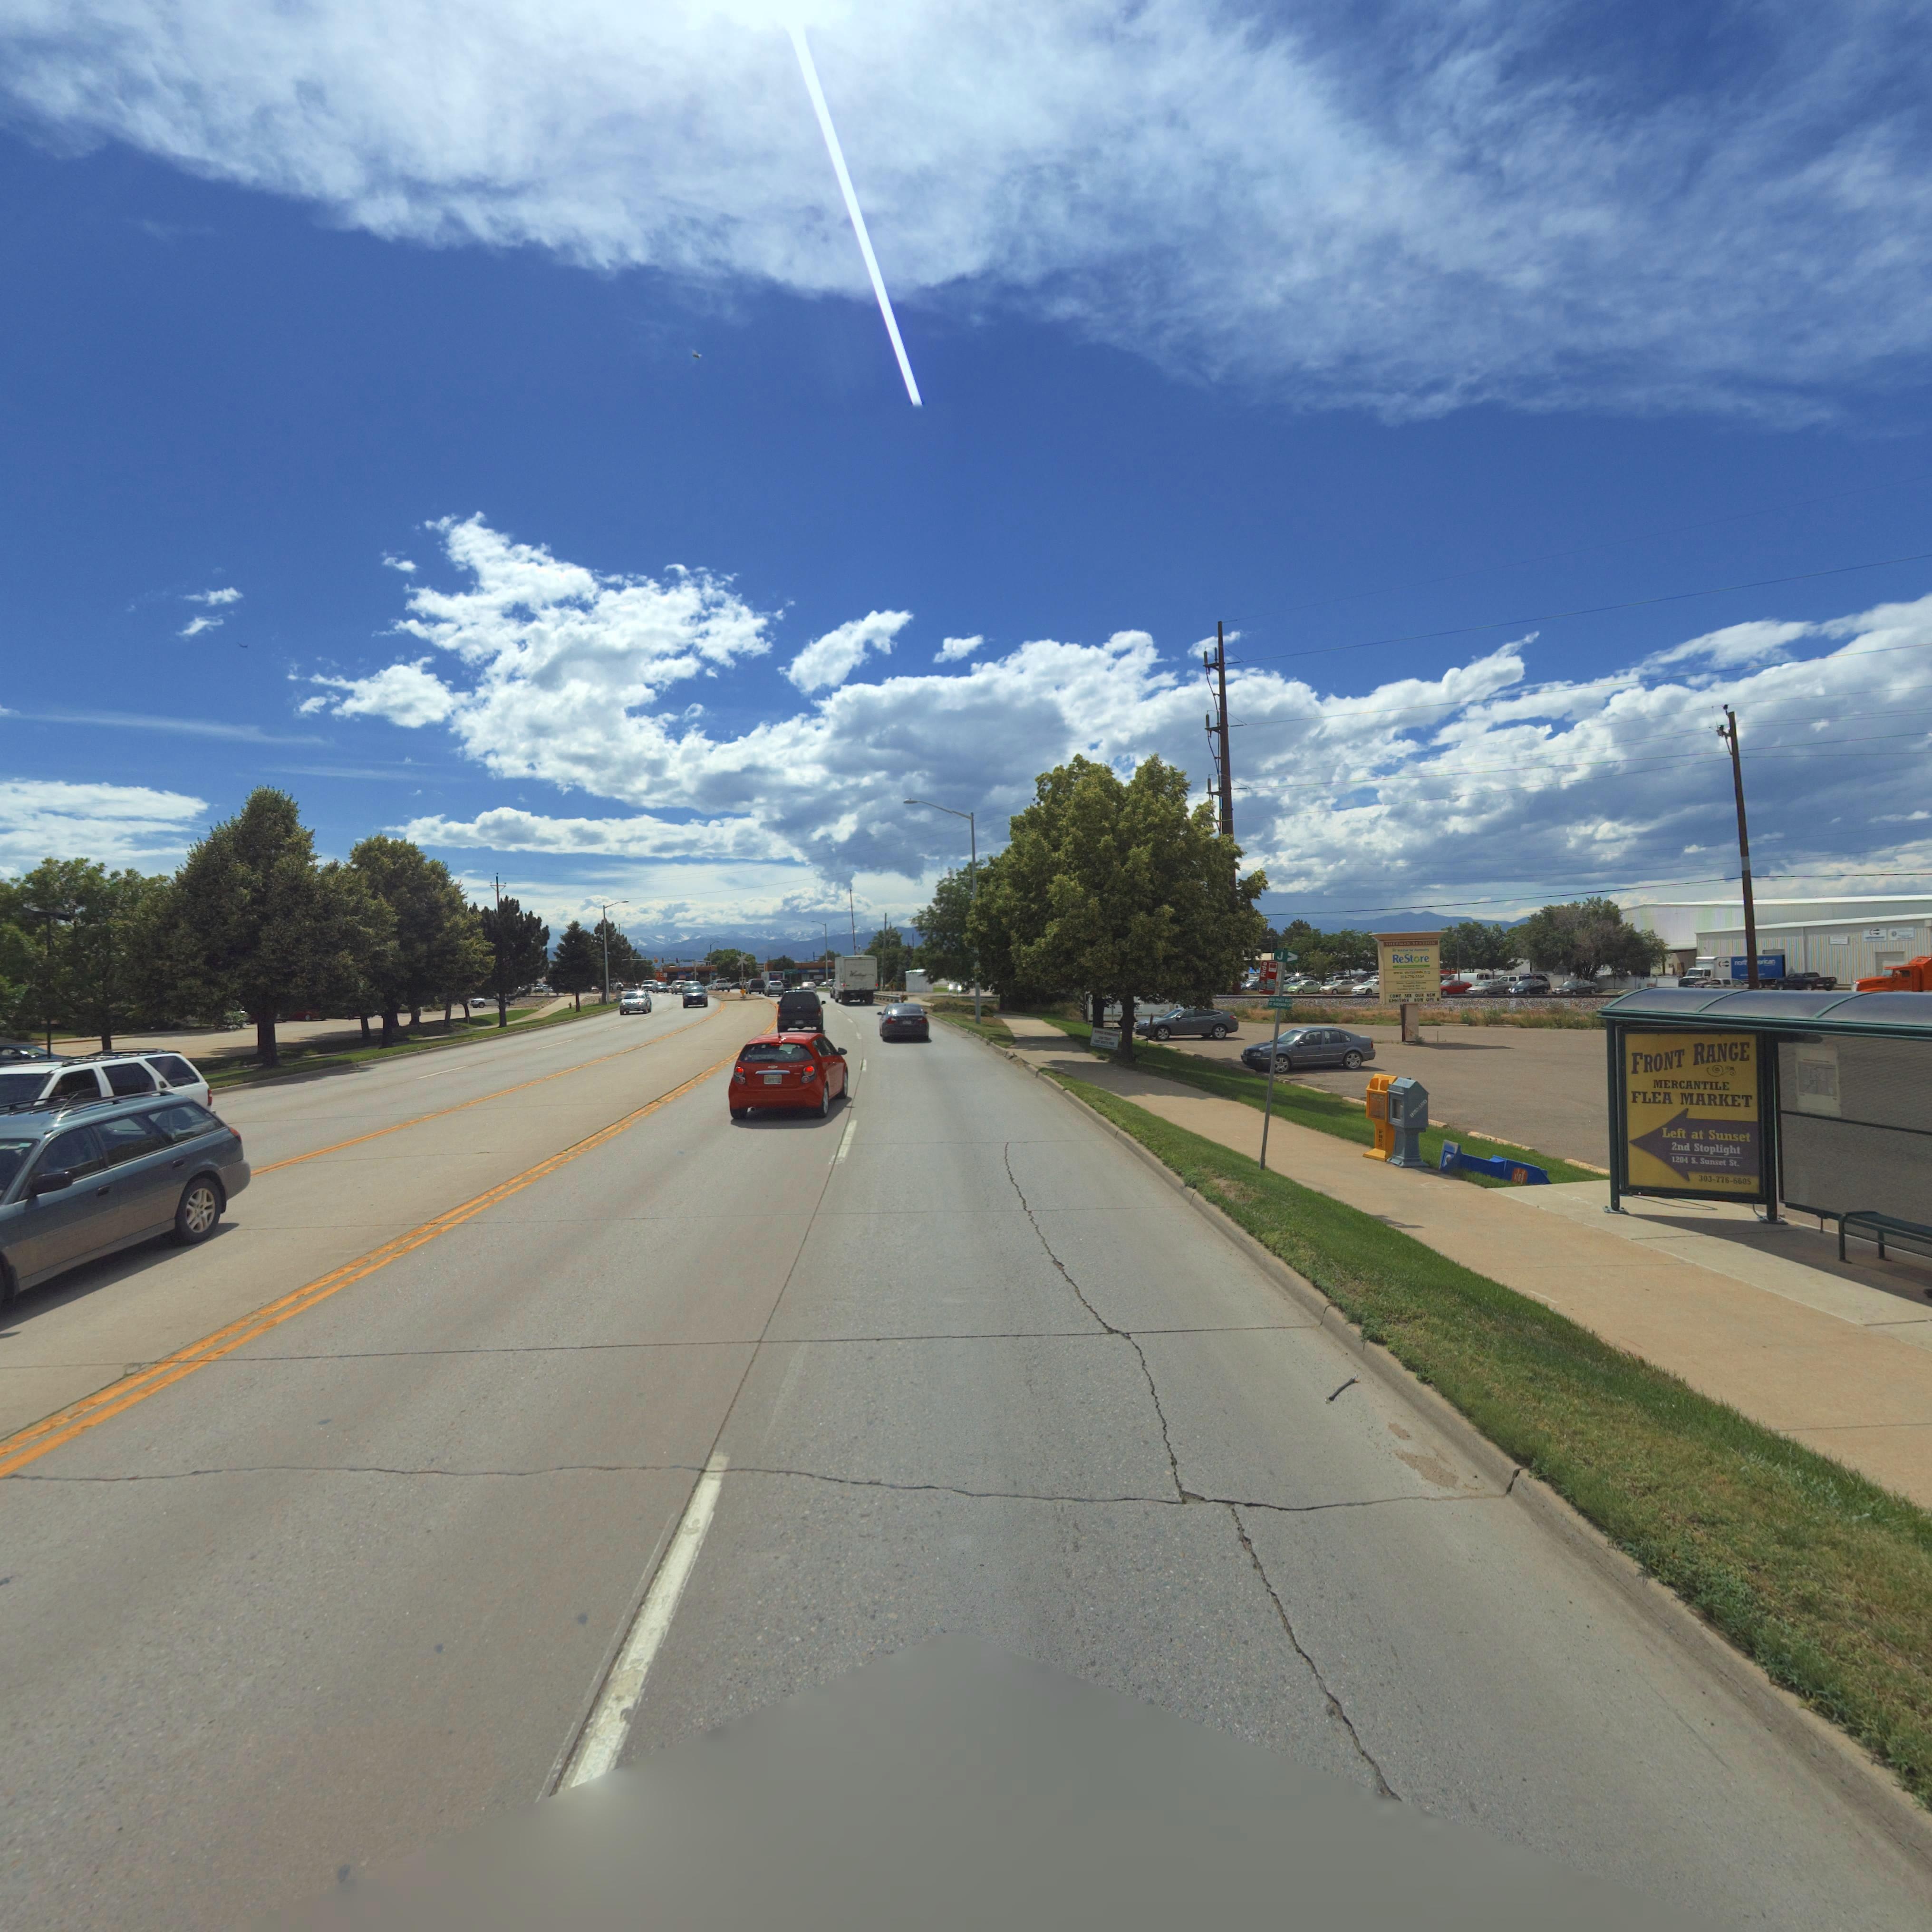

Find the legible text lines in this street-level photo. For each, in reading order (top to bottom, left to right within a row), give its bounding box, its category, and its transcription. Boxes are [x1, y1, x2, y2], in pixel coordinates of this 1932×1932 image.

[1392, 954, 1430, 963] BusinessName: ReStore
[1268, 997, 1292, 1003] StreetName: KEN PRATT BLVD
[1272, 1001, 1292, 1007] StreetName: M**** *R